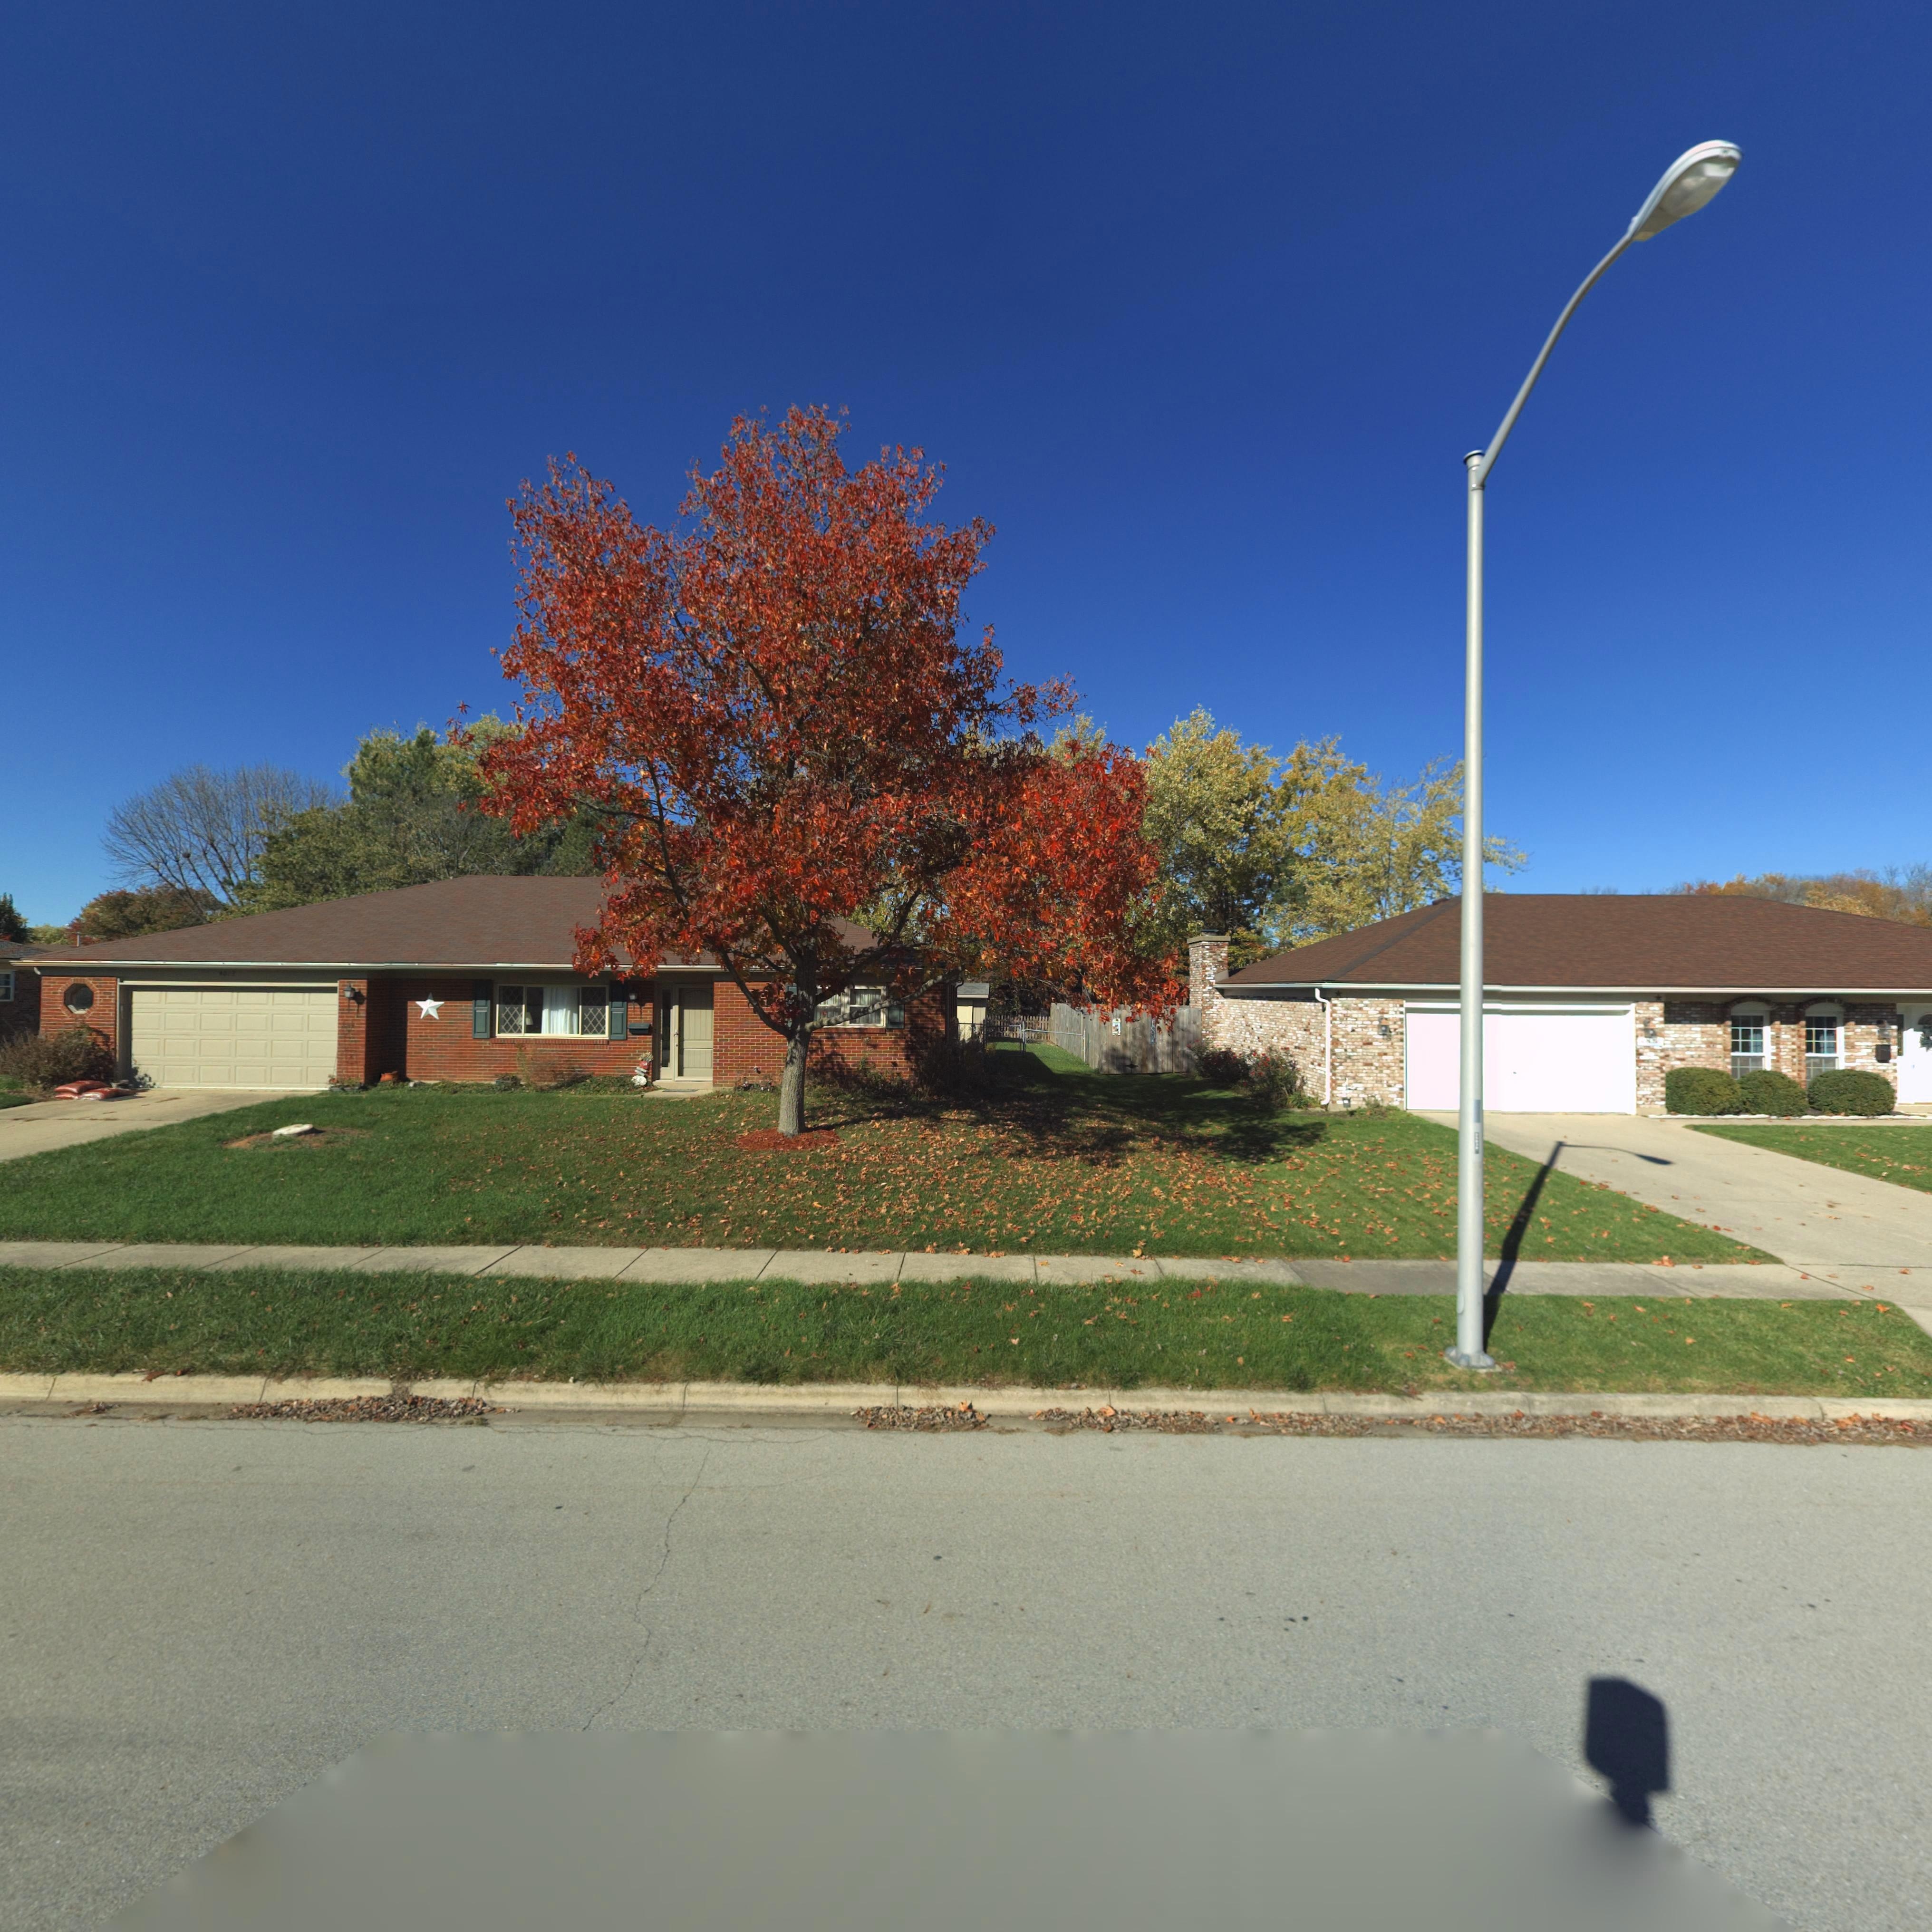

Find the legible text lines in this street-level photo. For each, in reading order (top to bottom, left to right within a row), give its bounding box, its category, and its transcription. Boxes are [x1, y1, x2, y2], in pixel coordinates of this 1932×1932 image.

[218, 969, 236, 977] StreetNumber: 4013